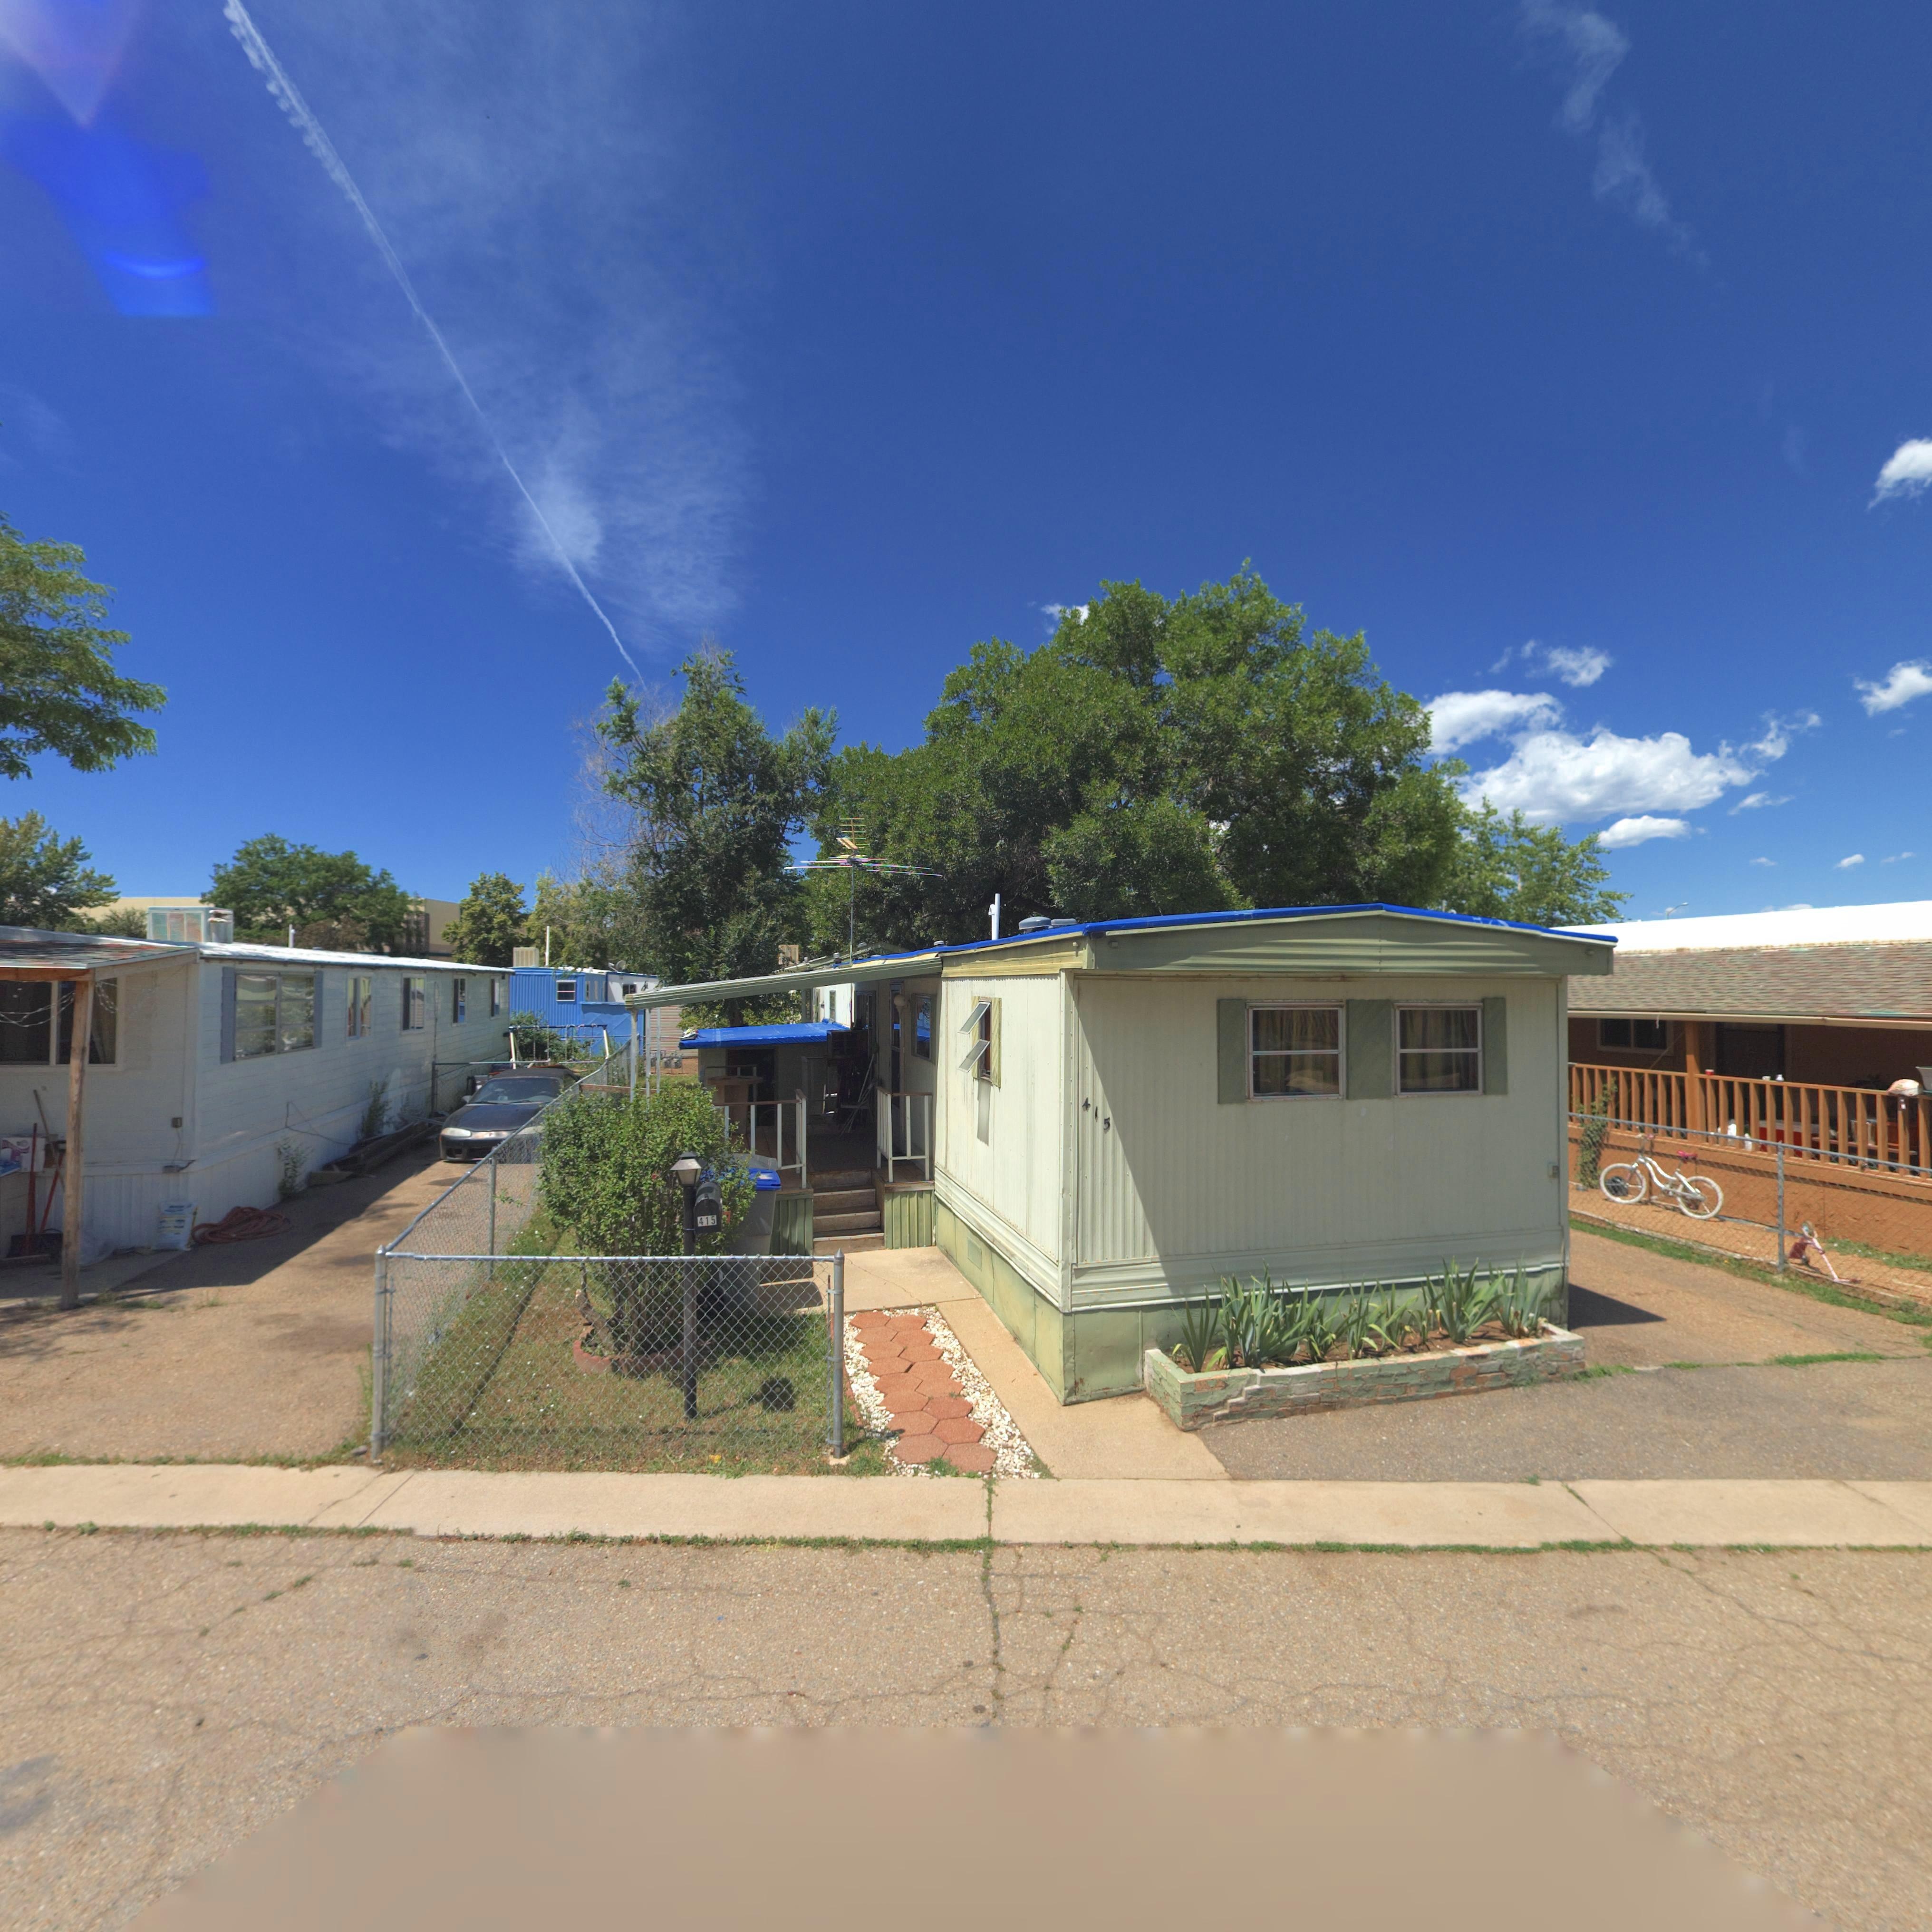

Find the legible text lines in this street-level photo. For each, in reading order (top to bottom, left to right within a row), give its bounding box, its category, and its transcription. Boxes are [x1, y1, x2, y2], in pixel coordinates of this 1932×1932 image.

[1081, 1096, 1111, 1130] StreetNumber: 415
[698, 1216, 715, 1225] StreetNumber: 415